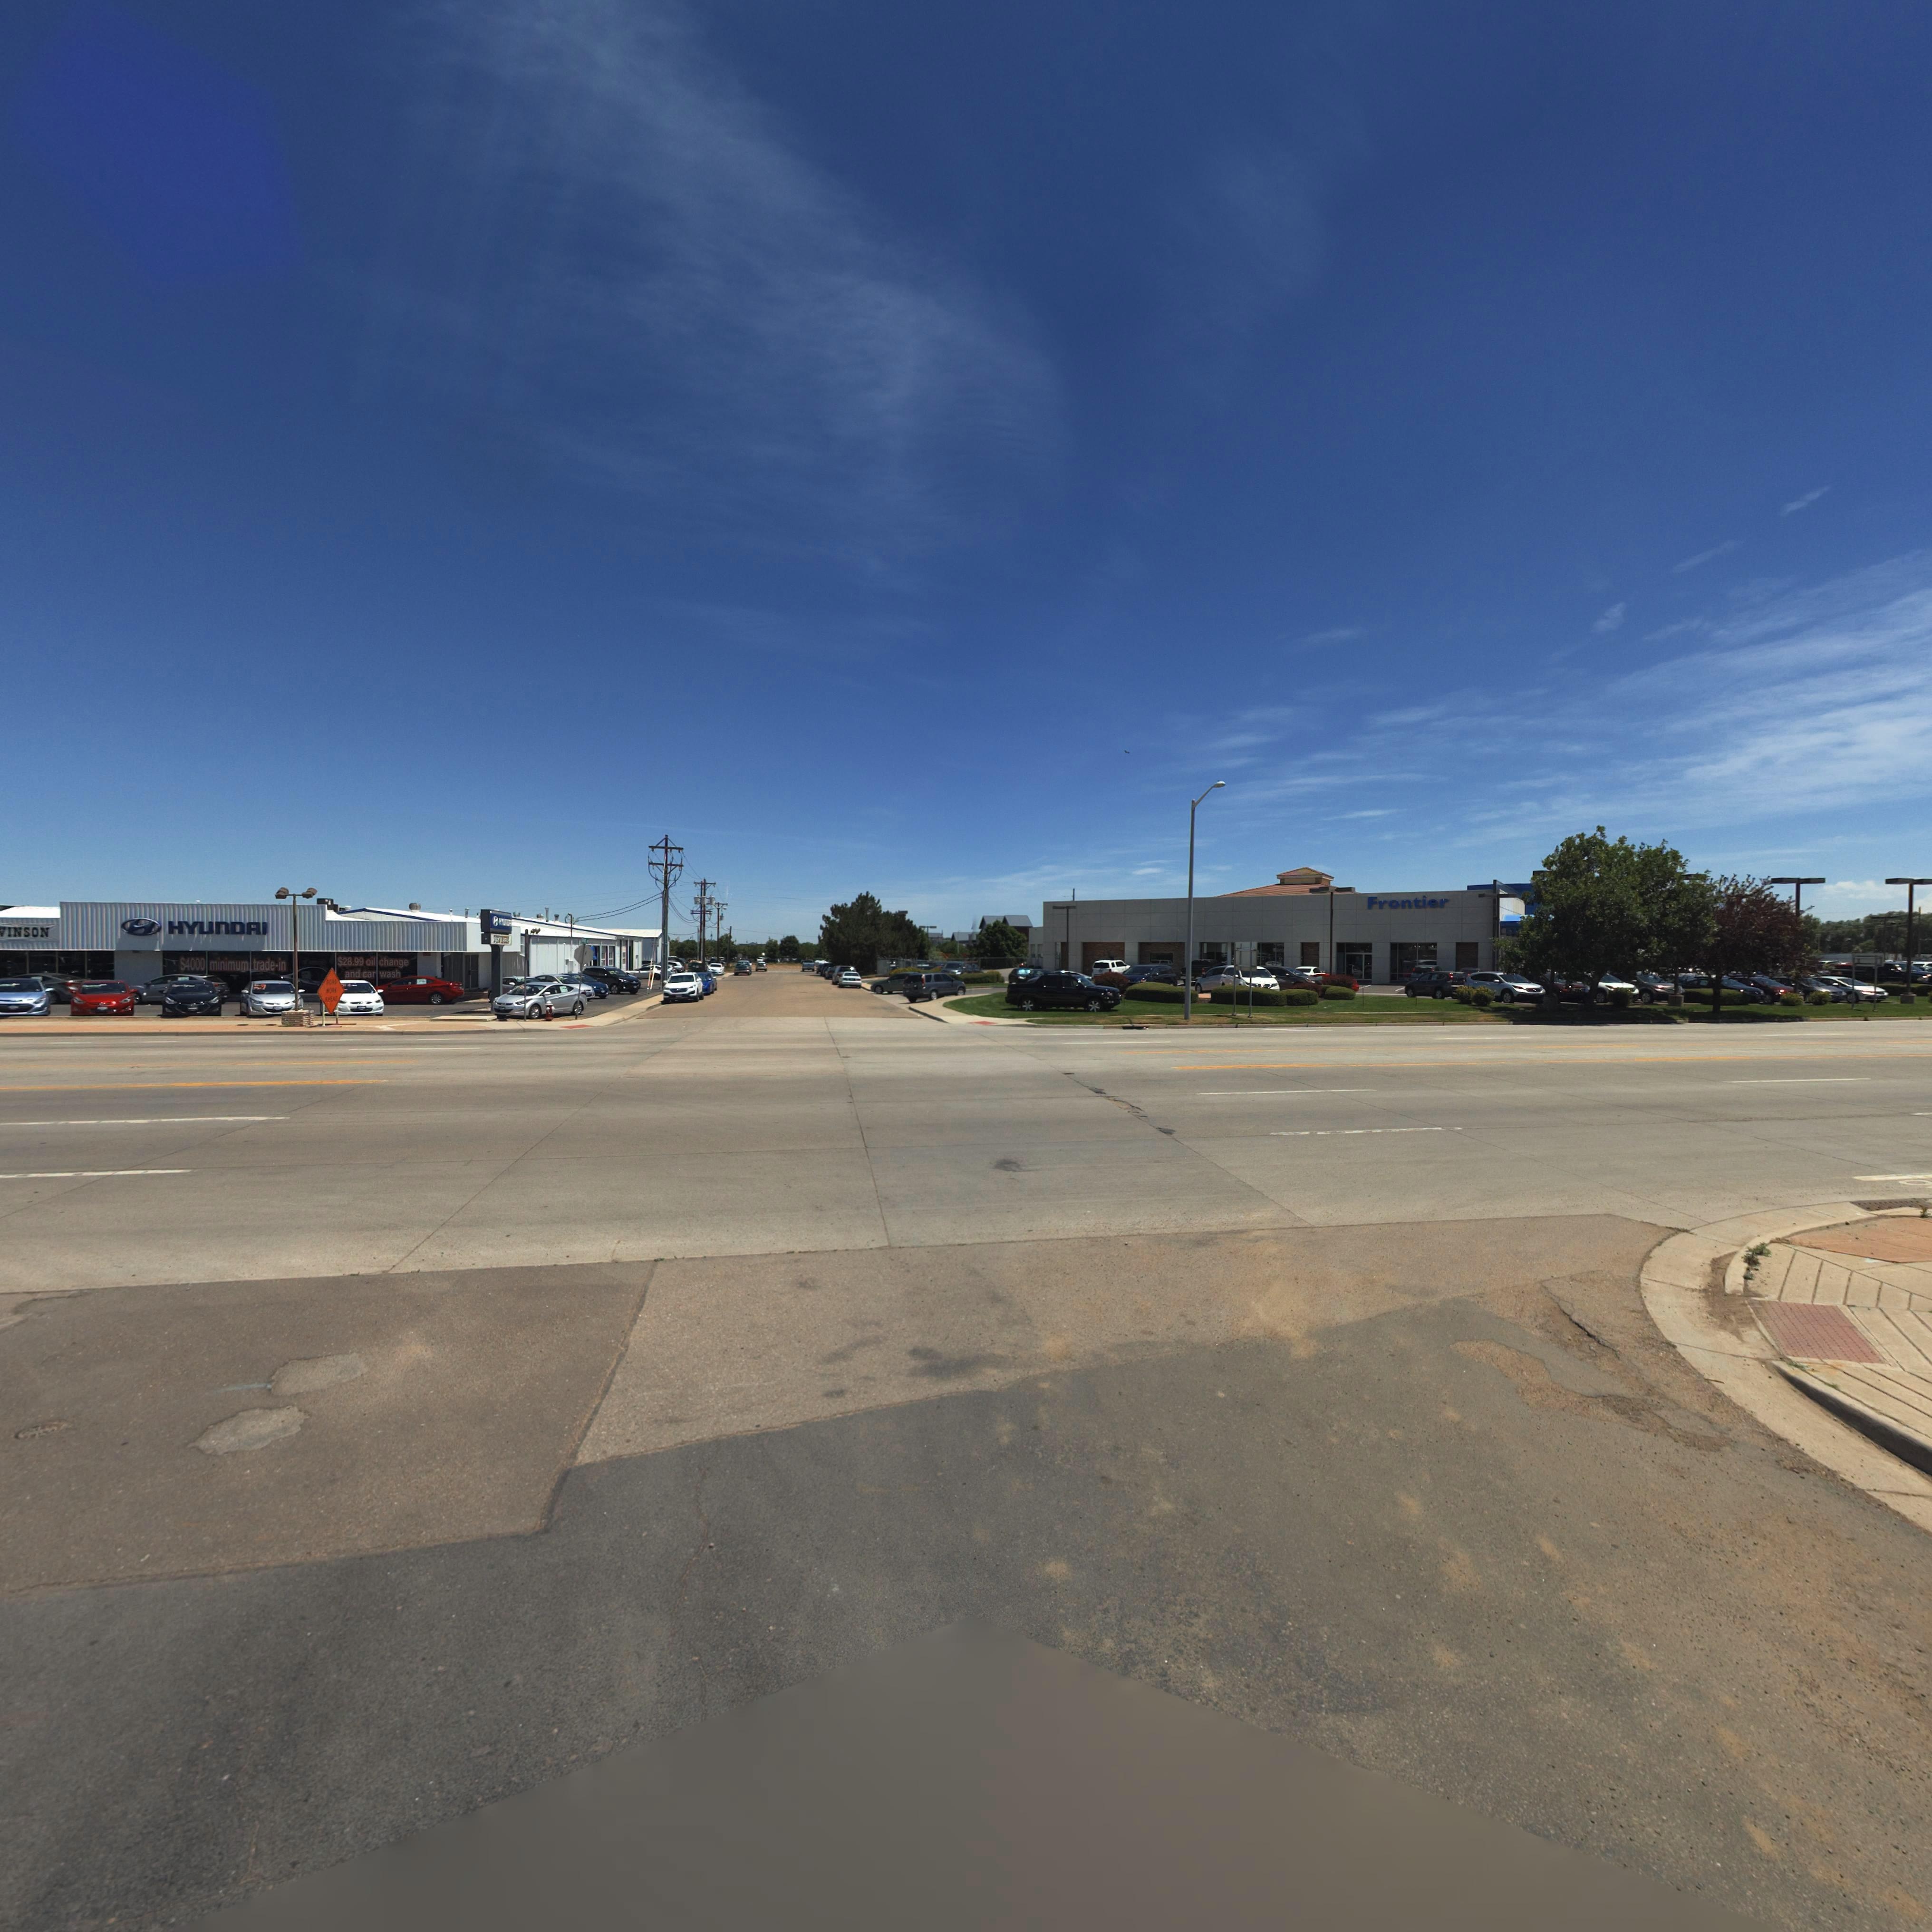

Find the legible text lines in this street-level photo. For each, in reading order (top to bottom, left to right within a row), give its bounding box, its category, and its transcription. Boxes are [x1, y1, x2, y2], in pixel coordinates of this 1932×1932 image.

[1367, 895, 1450, 909] BusinessName: Frontier
[498, 917, 512, 926] BusinessName: H*U*DA*
[7, 926, 49, 937] BusinessName: INSON
[167, 920, 267, 936] BusinessName: HYUnDAI
[493, 934, 509, 944] BusinessName: STEV*****